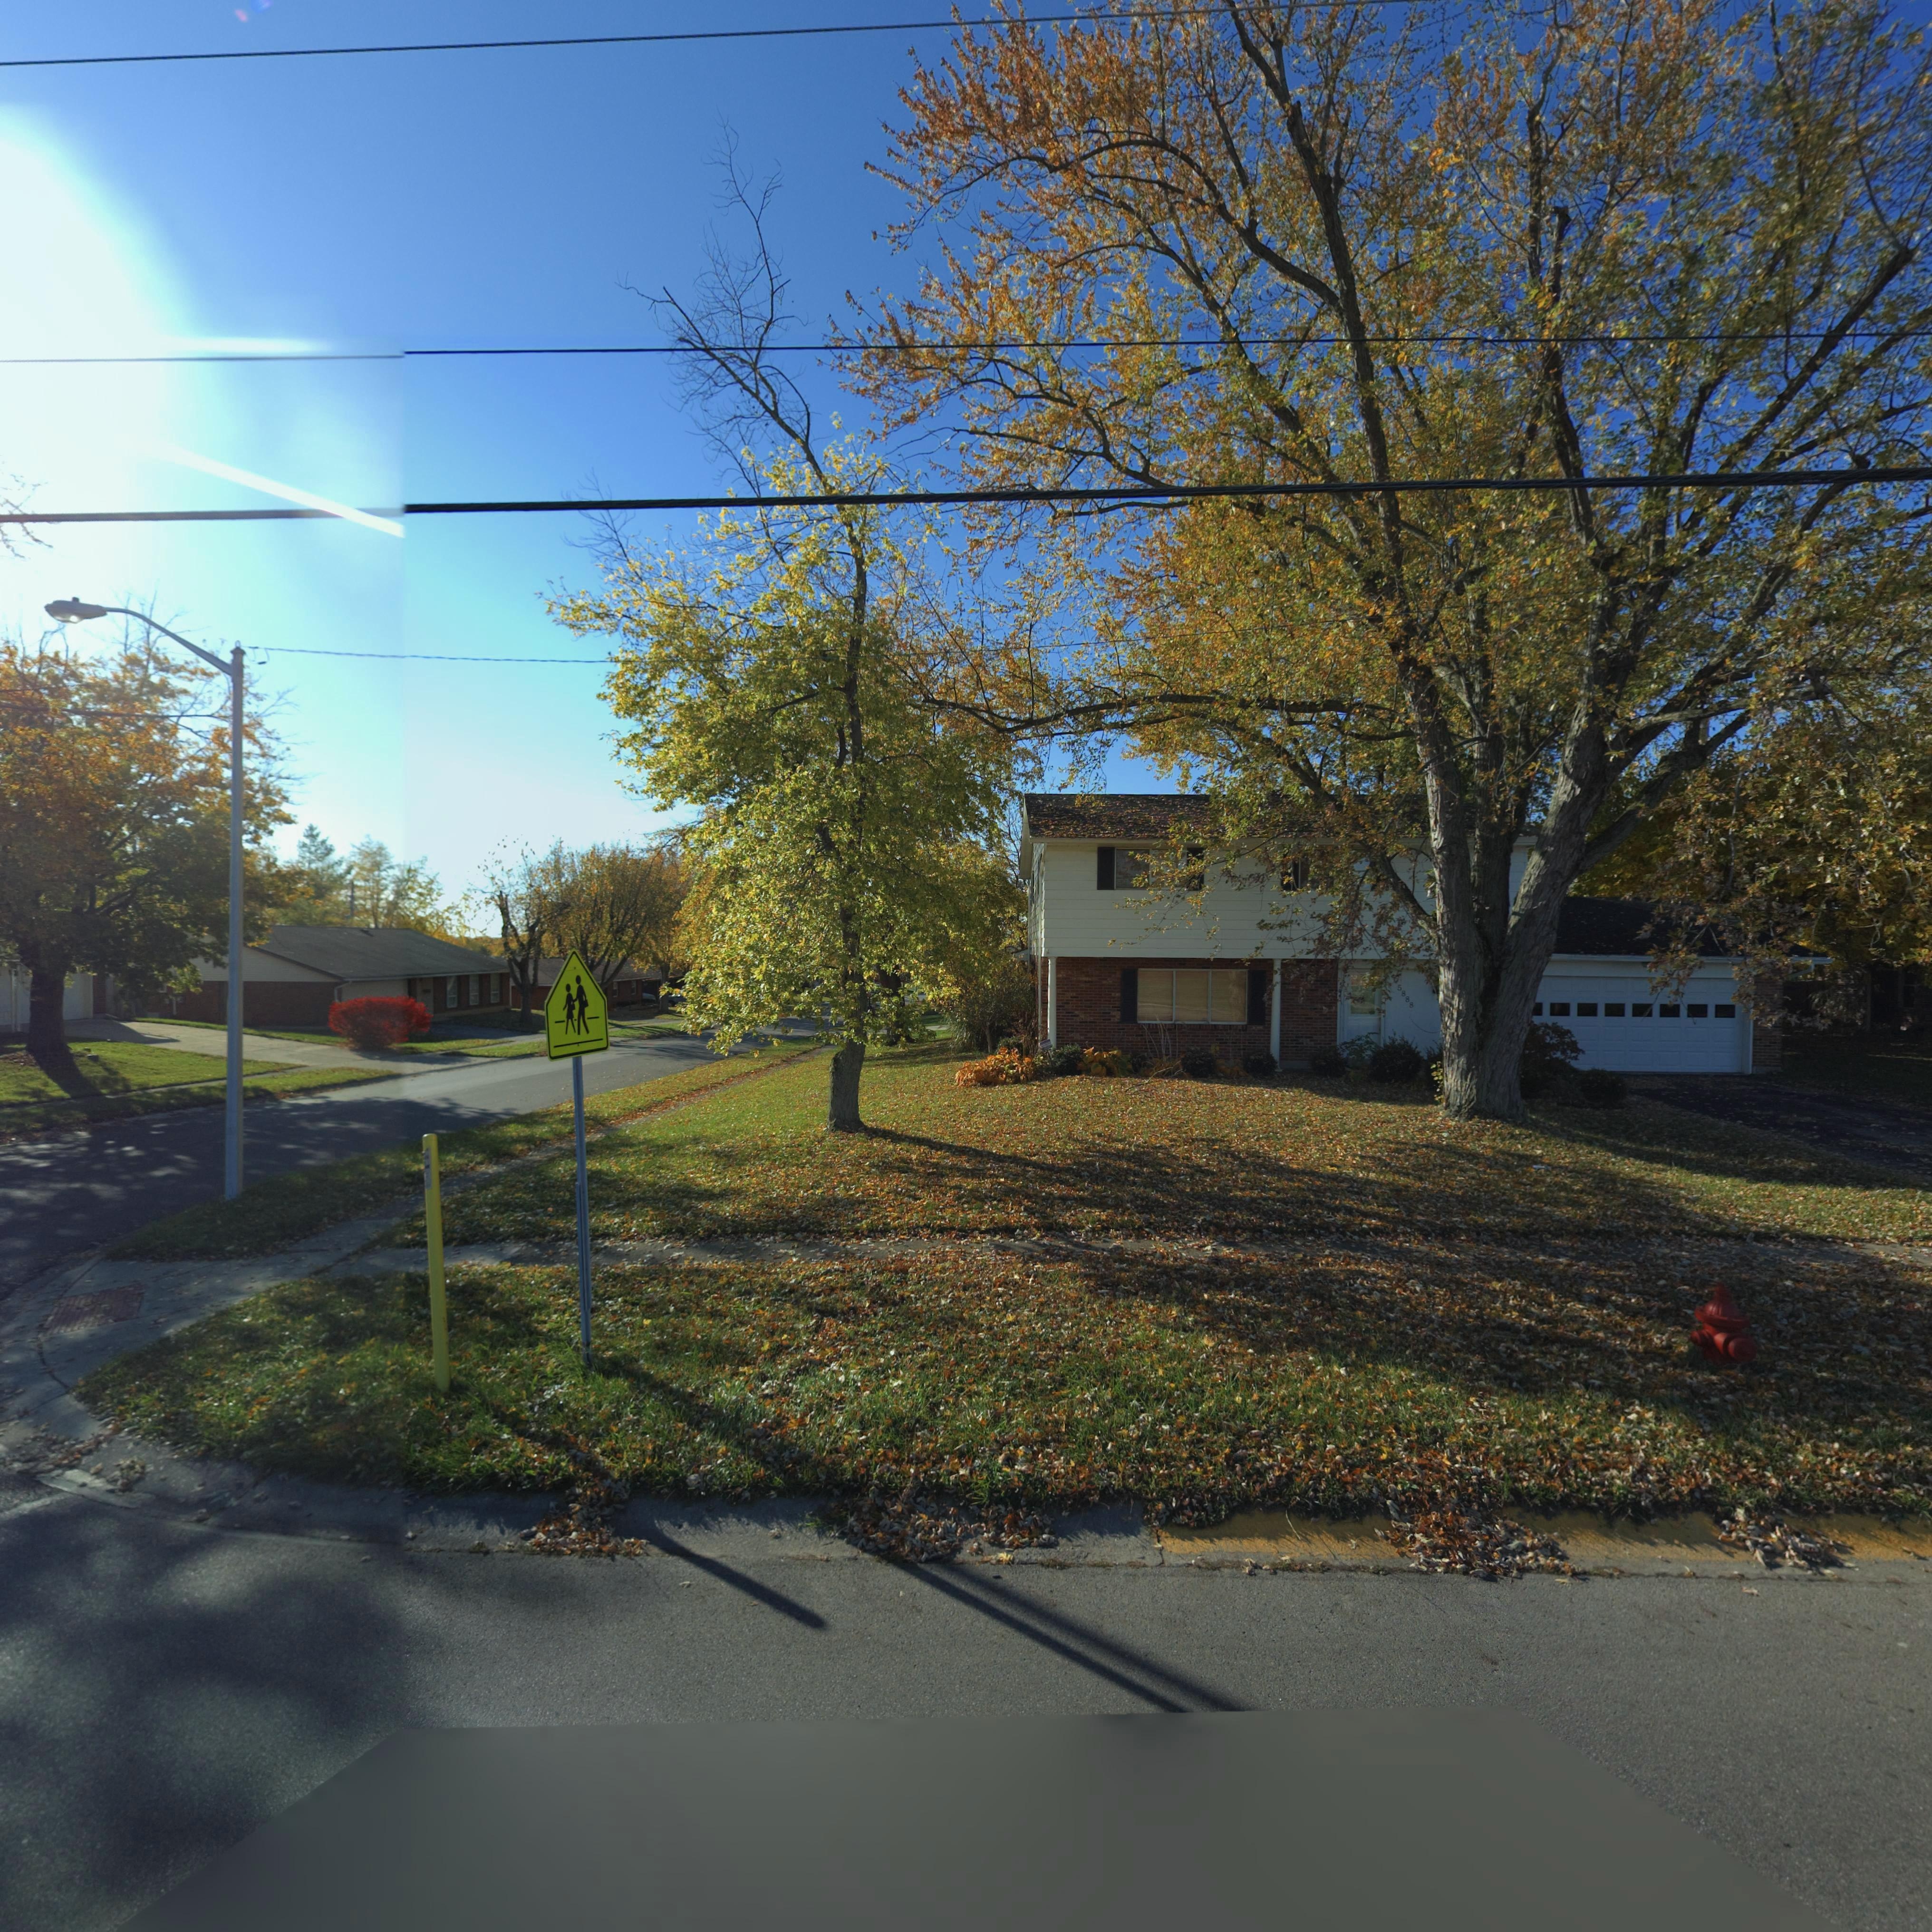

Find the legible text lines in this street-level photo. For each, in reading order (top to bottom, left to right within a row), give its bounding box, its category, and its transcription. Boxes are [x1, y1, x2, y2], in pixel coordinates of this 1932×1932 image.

[1397, 984, 1414, 1008] StreetNumber: 5888